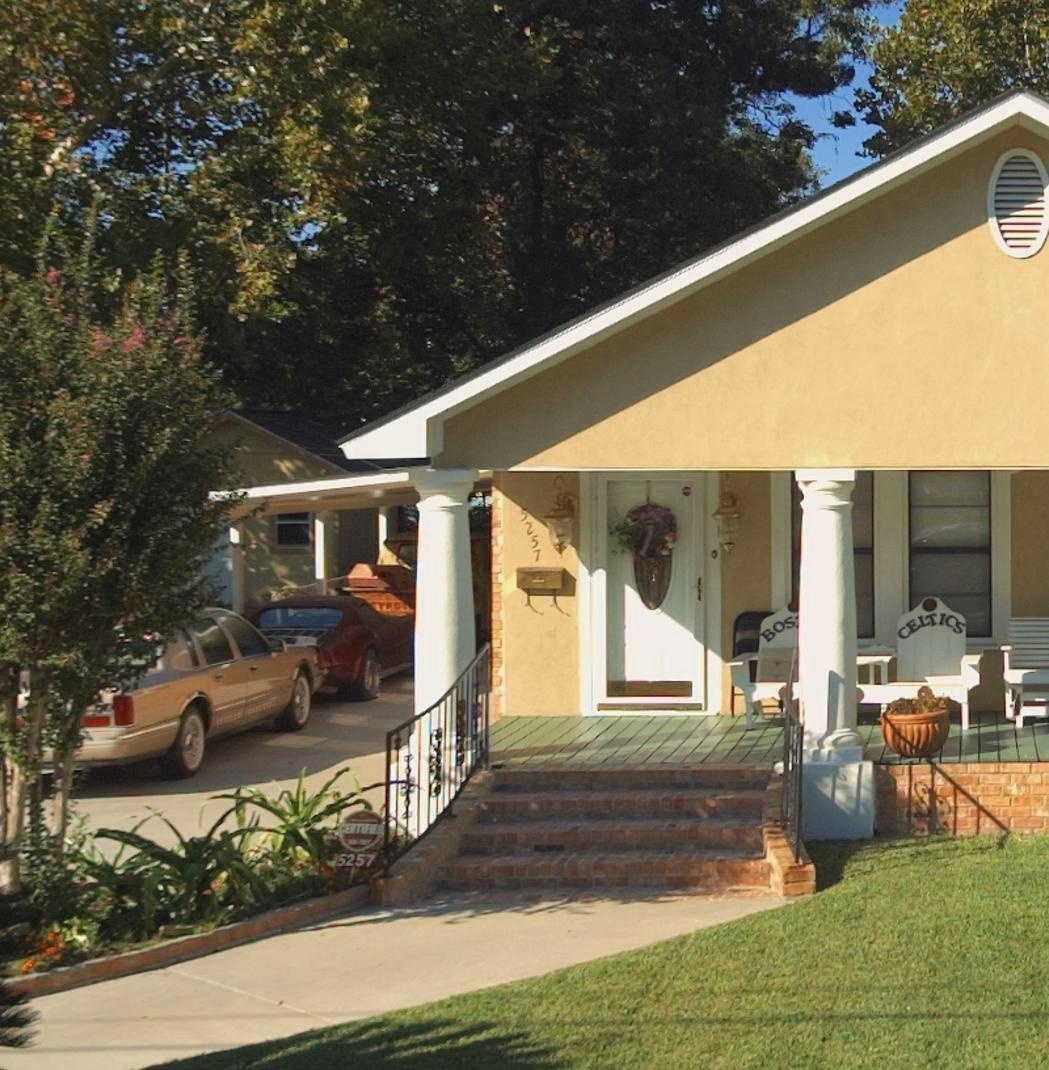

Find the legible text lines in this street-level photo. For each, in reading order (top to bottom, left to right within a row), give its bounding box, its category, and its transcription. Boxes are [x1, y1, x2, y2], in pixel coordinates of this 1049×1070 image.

[518, 506, 544, 567] StreetNumber: 5257
[757, 615, 798, 644] None: BOS
[895, 611, 967, 640] None: CELTICS
[337, 822, 385, 835] None: CERTIFIED
[333, 853, 379, 868] StreetNumber: 5257